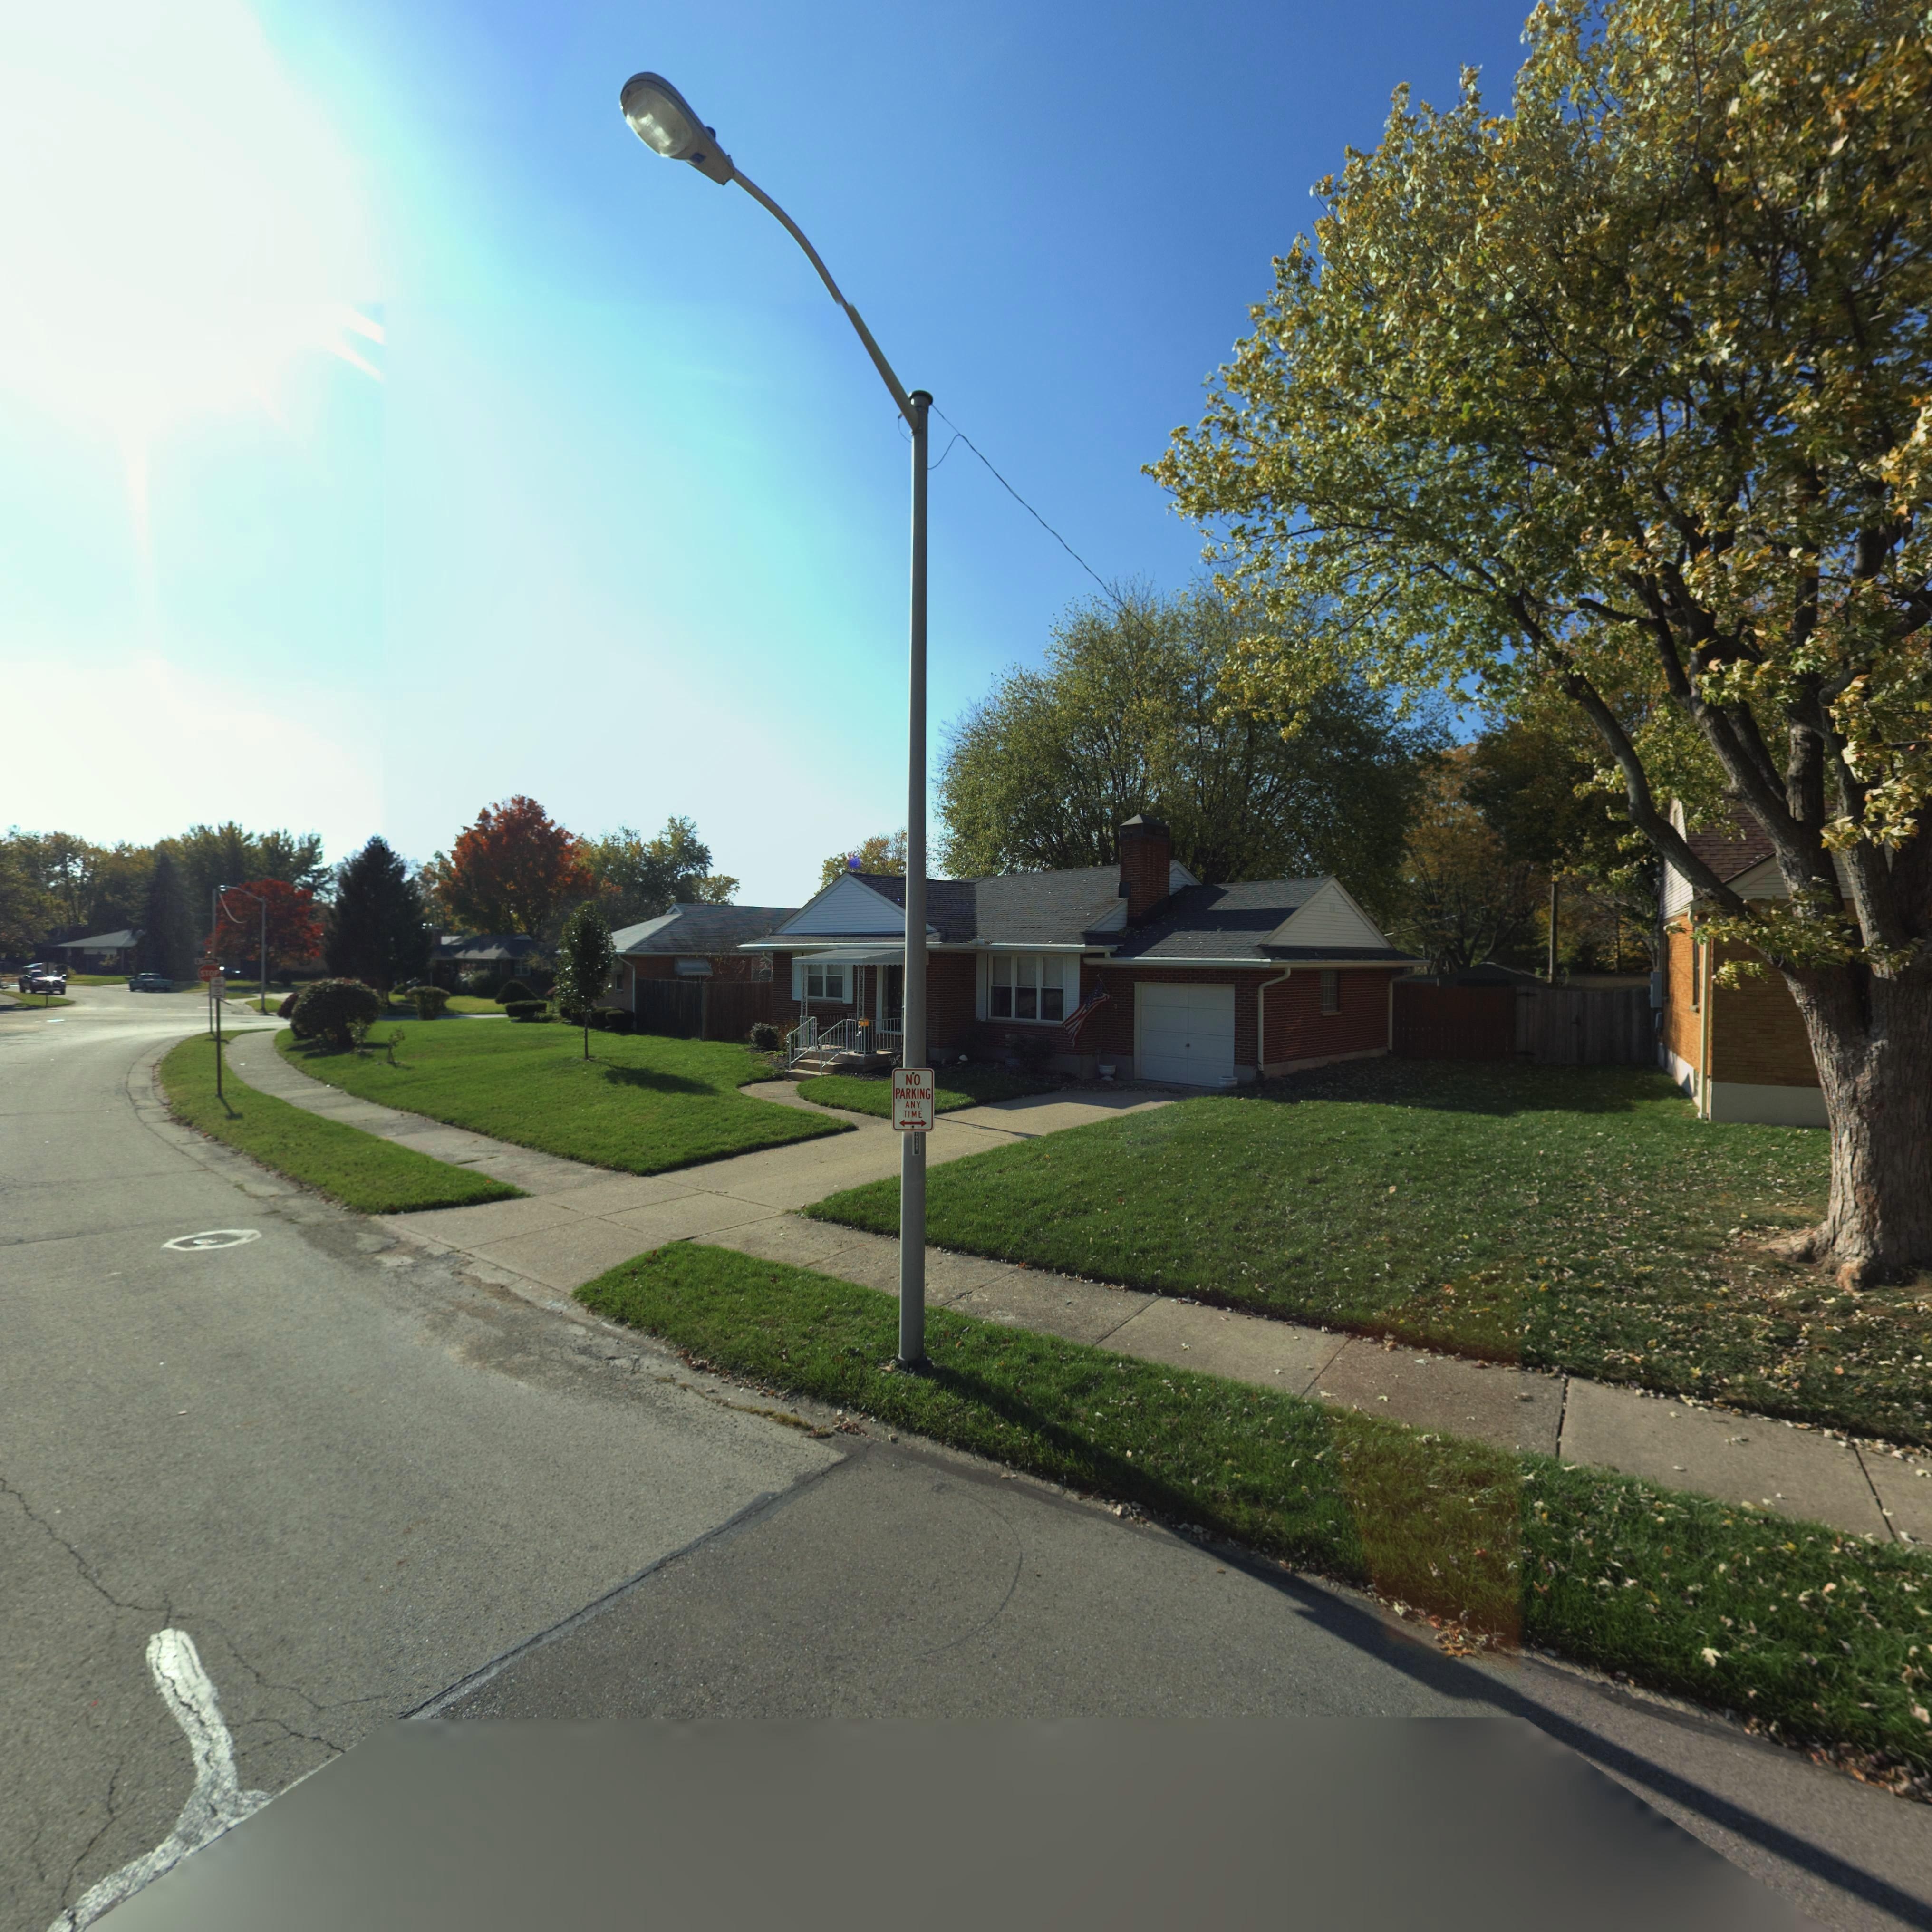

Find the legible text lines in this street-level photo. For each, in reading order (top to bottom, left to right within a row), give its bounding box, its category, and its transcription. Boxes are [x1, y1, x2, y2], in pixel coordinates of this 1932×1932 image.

[905, 1073, 921, 1086] None: NO
[895, 1088, 931, 1100] None: PARKING
[904, 1101, 921, 1109] None: ANY
[903, 1110, 923, 1119] None: TIME
[915, 1132, 918, 1150] None: 195**